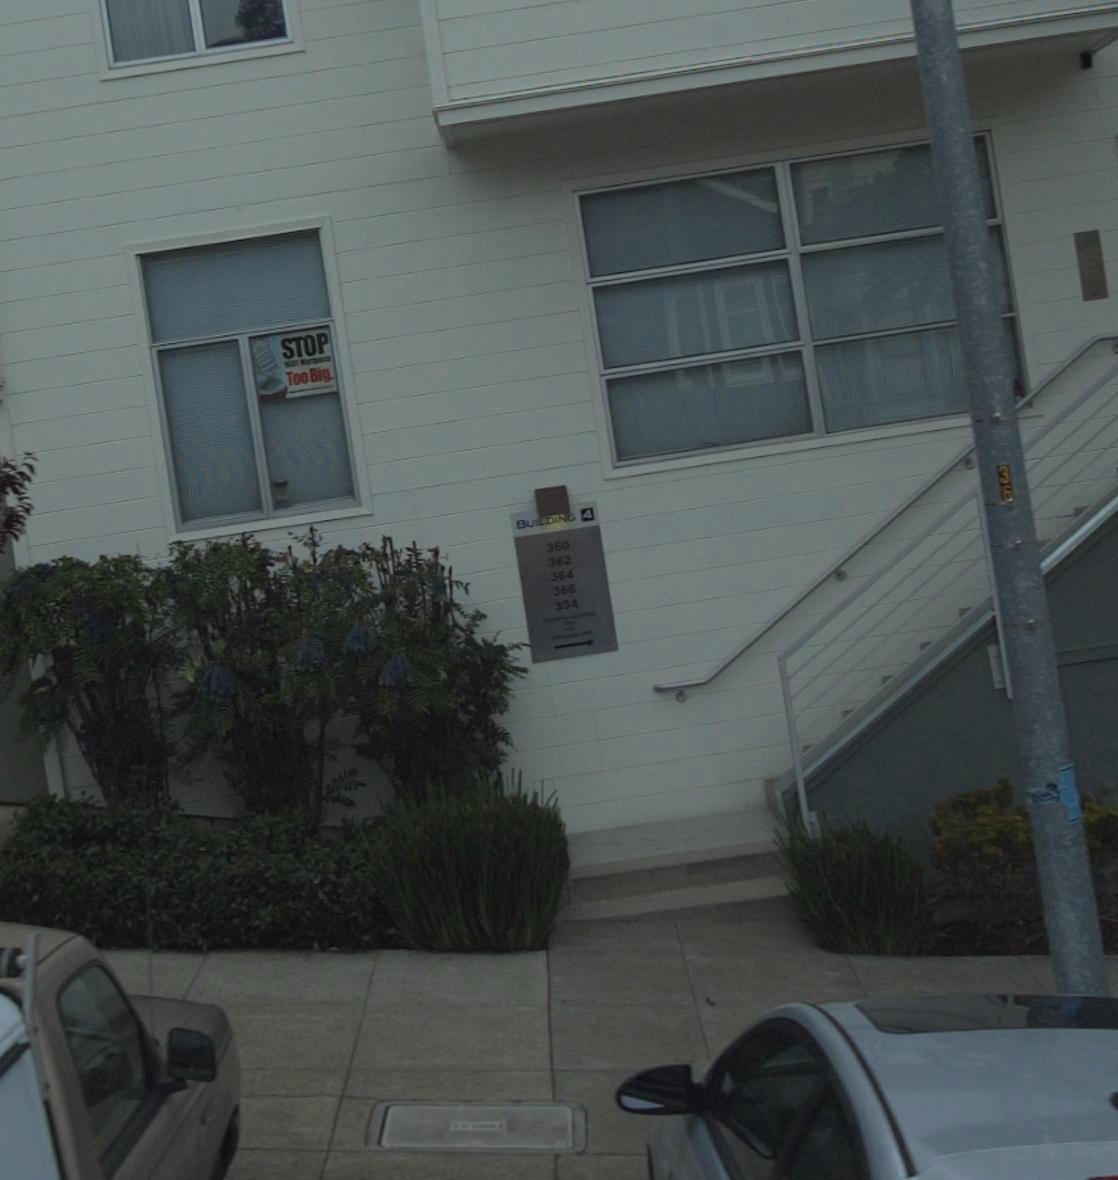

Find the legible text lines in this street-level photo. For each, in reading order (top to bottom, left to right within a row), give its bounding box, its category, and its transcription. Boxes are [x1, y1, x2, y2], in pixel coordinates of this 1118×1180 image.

[281, 330, 333, 361] None: STOP
[285, 364, 335, 388] None: TooBig.
[997, 464, 1017, 506] None: 36
[514, 508, 593, 531] None: BUILDING 4
[545, 539, 570, 554] StreetNumber: 360
[548, 554, 573, 567] StreetNumber: 362
[550, 569, 574, 583] StreetNumber: 364
[552, 582, 577, 598] StreetNumber: 366
[554, 598, 580, 613] StreetNumber: 354